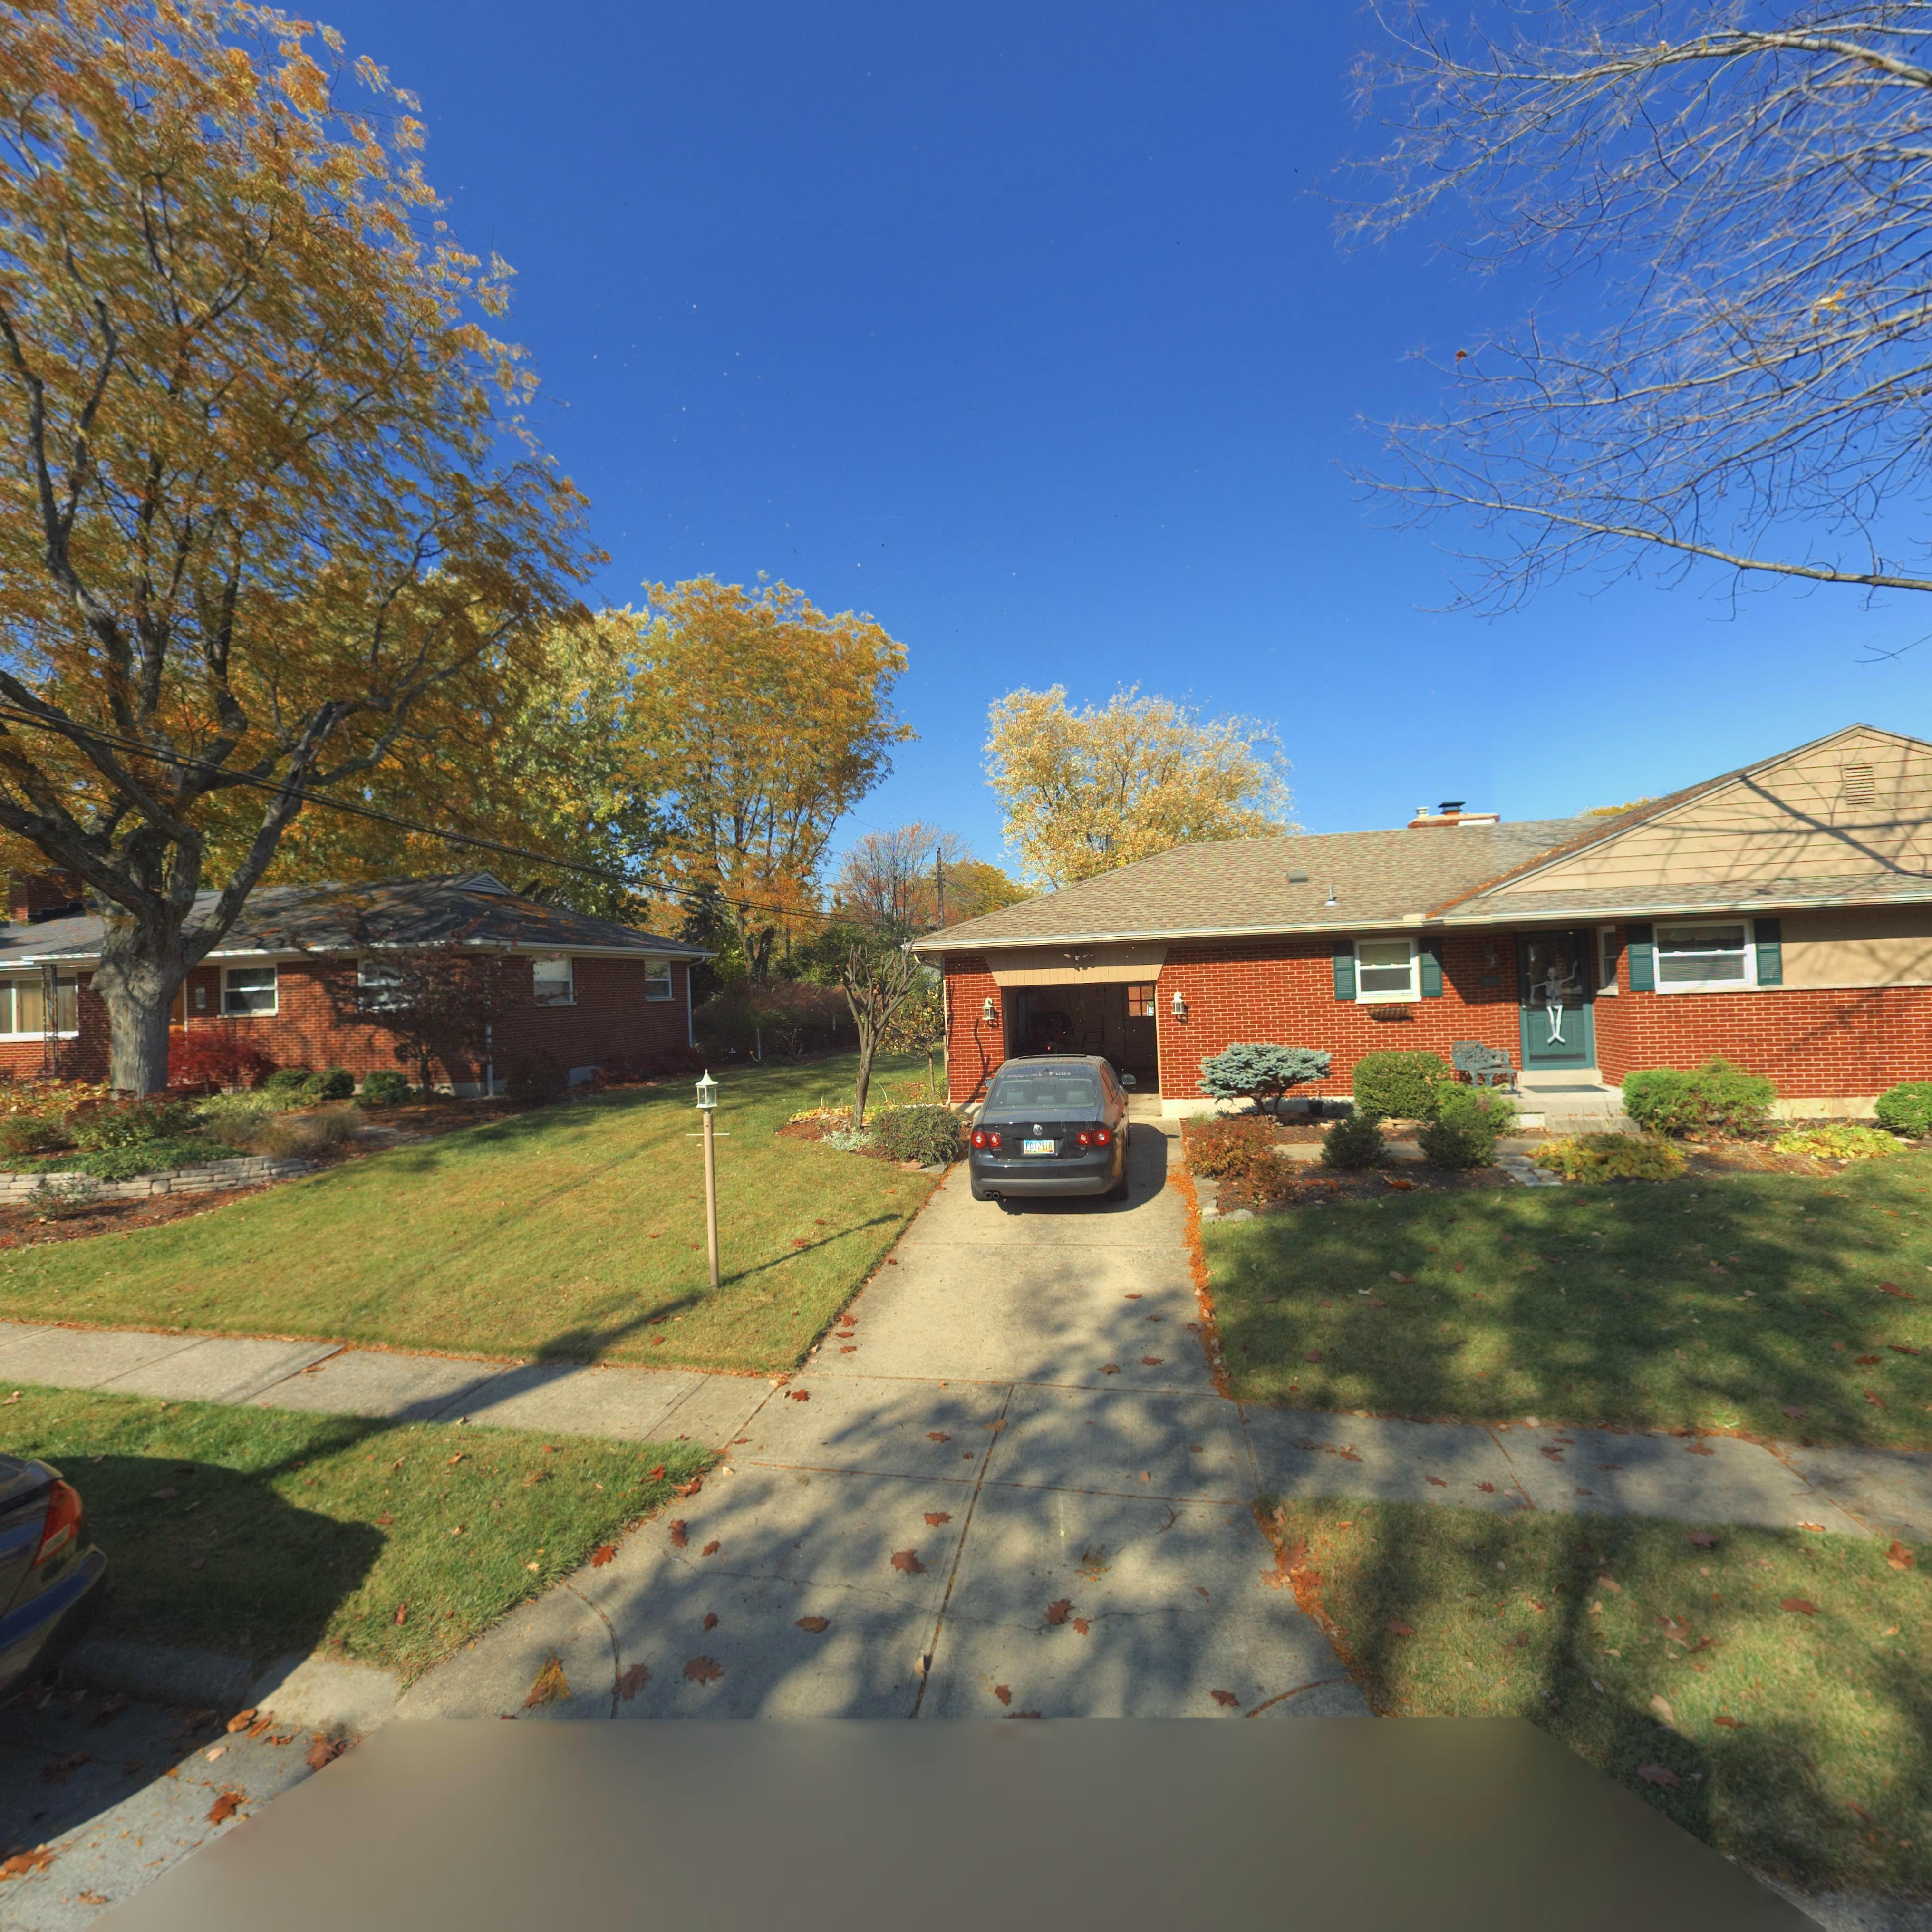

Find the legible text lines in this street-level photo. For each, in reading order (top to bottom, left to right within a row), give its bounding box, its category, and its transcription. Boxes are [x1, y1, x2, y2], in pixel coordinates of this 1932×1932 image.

[1025, 1141, 1052, 1150] None: FOJ2918